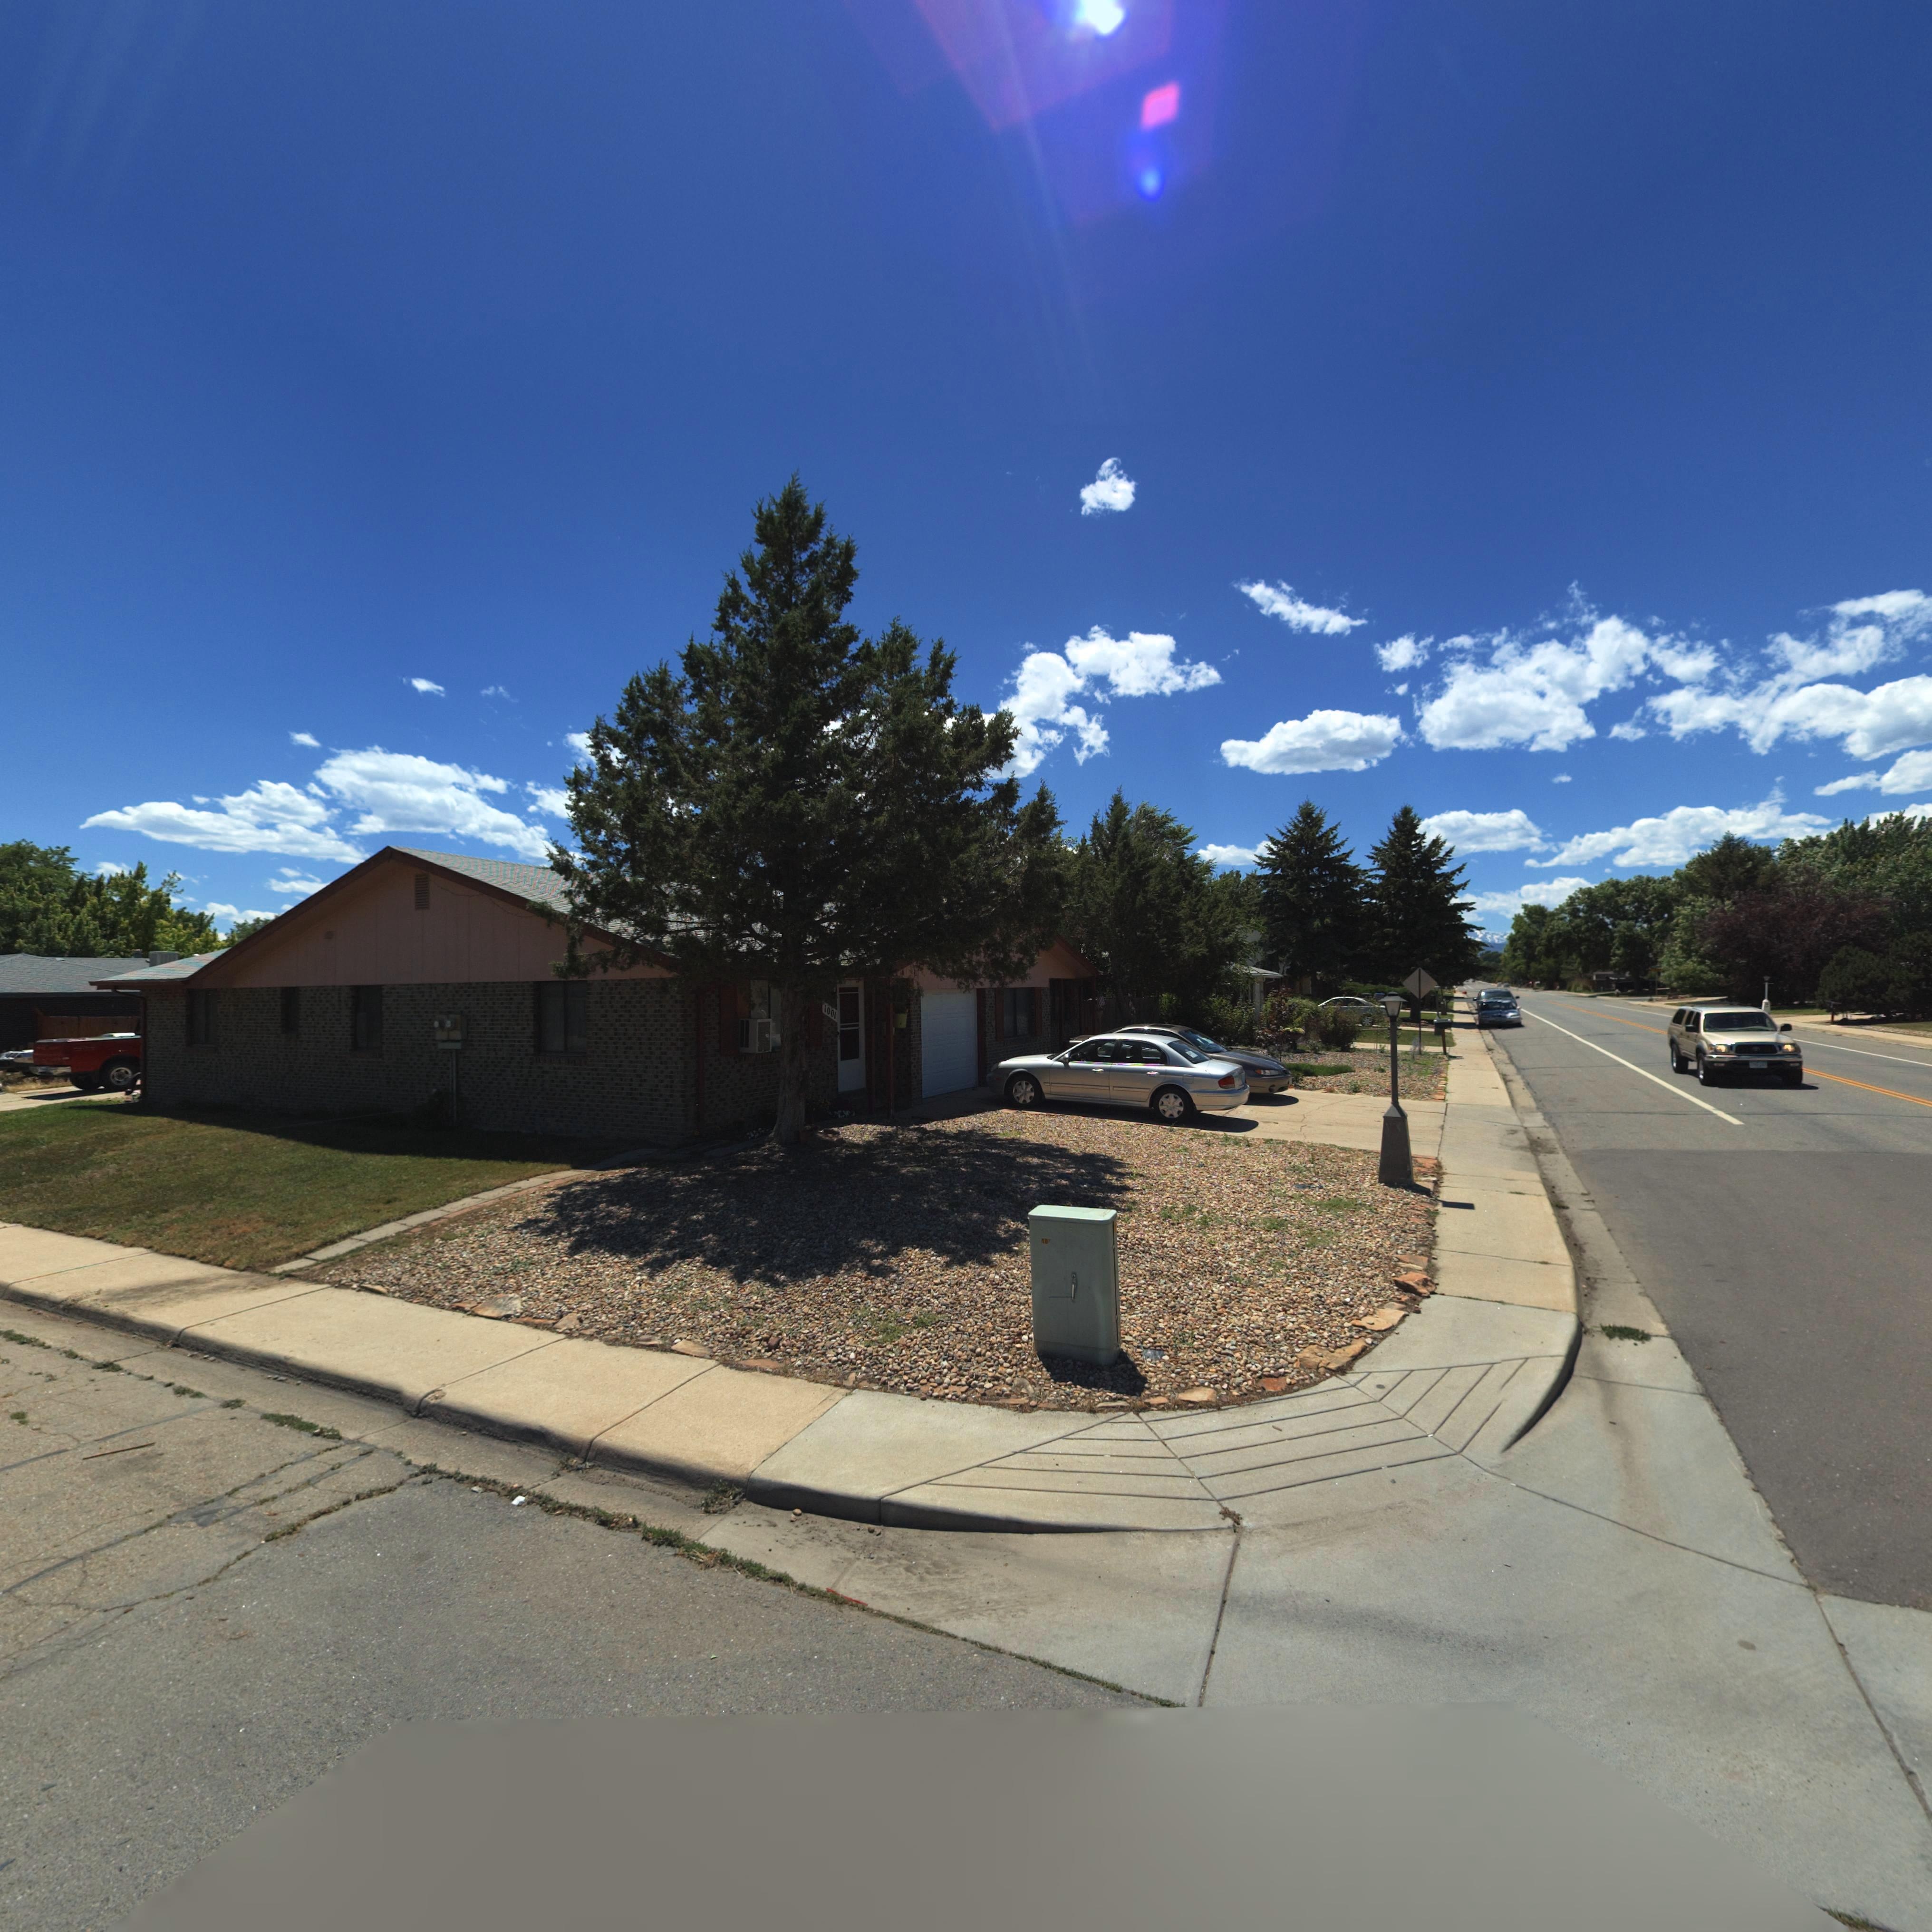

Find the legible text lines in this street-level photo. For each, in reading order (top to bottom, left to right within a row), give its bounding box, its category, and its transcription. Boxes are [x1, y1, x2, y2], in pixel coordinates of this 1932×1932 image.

[824, 1004, 836, 1020] StreetNumber: 1001